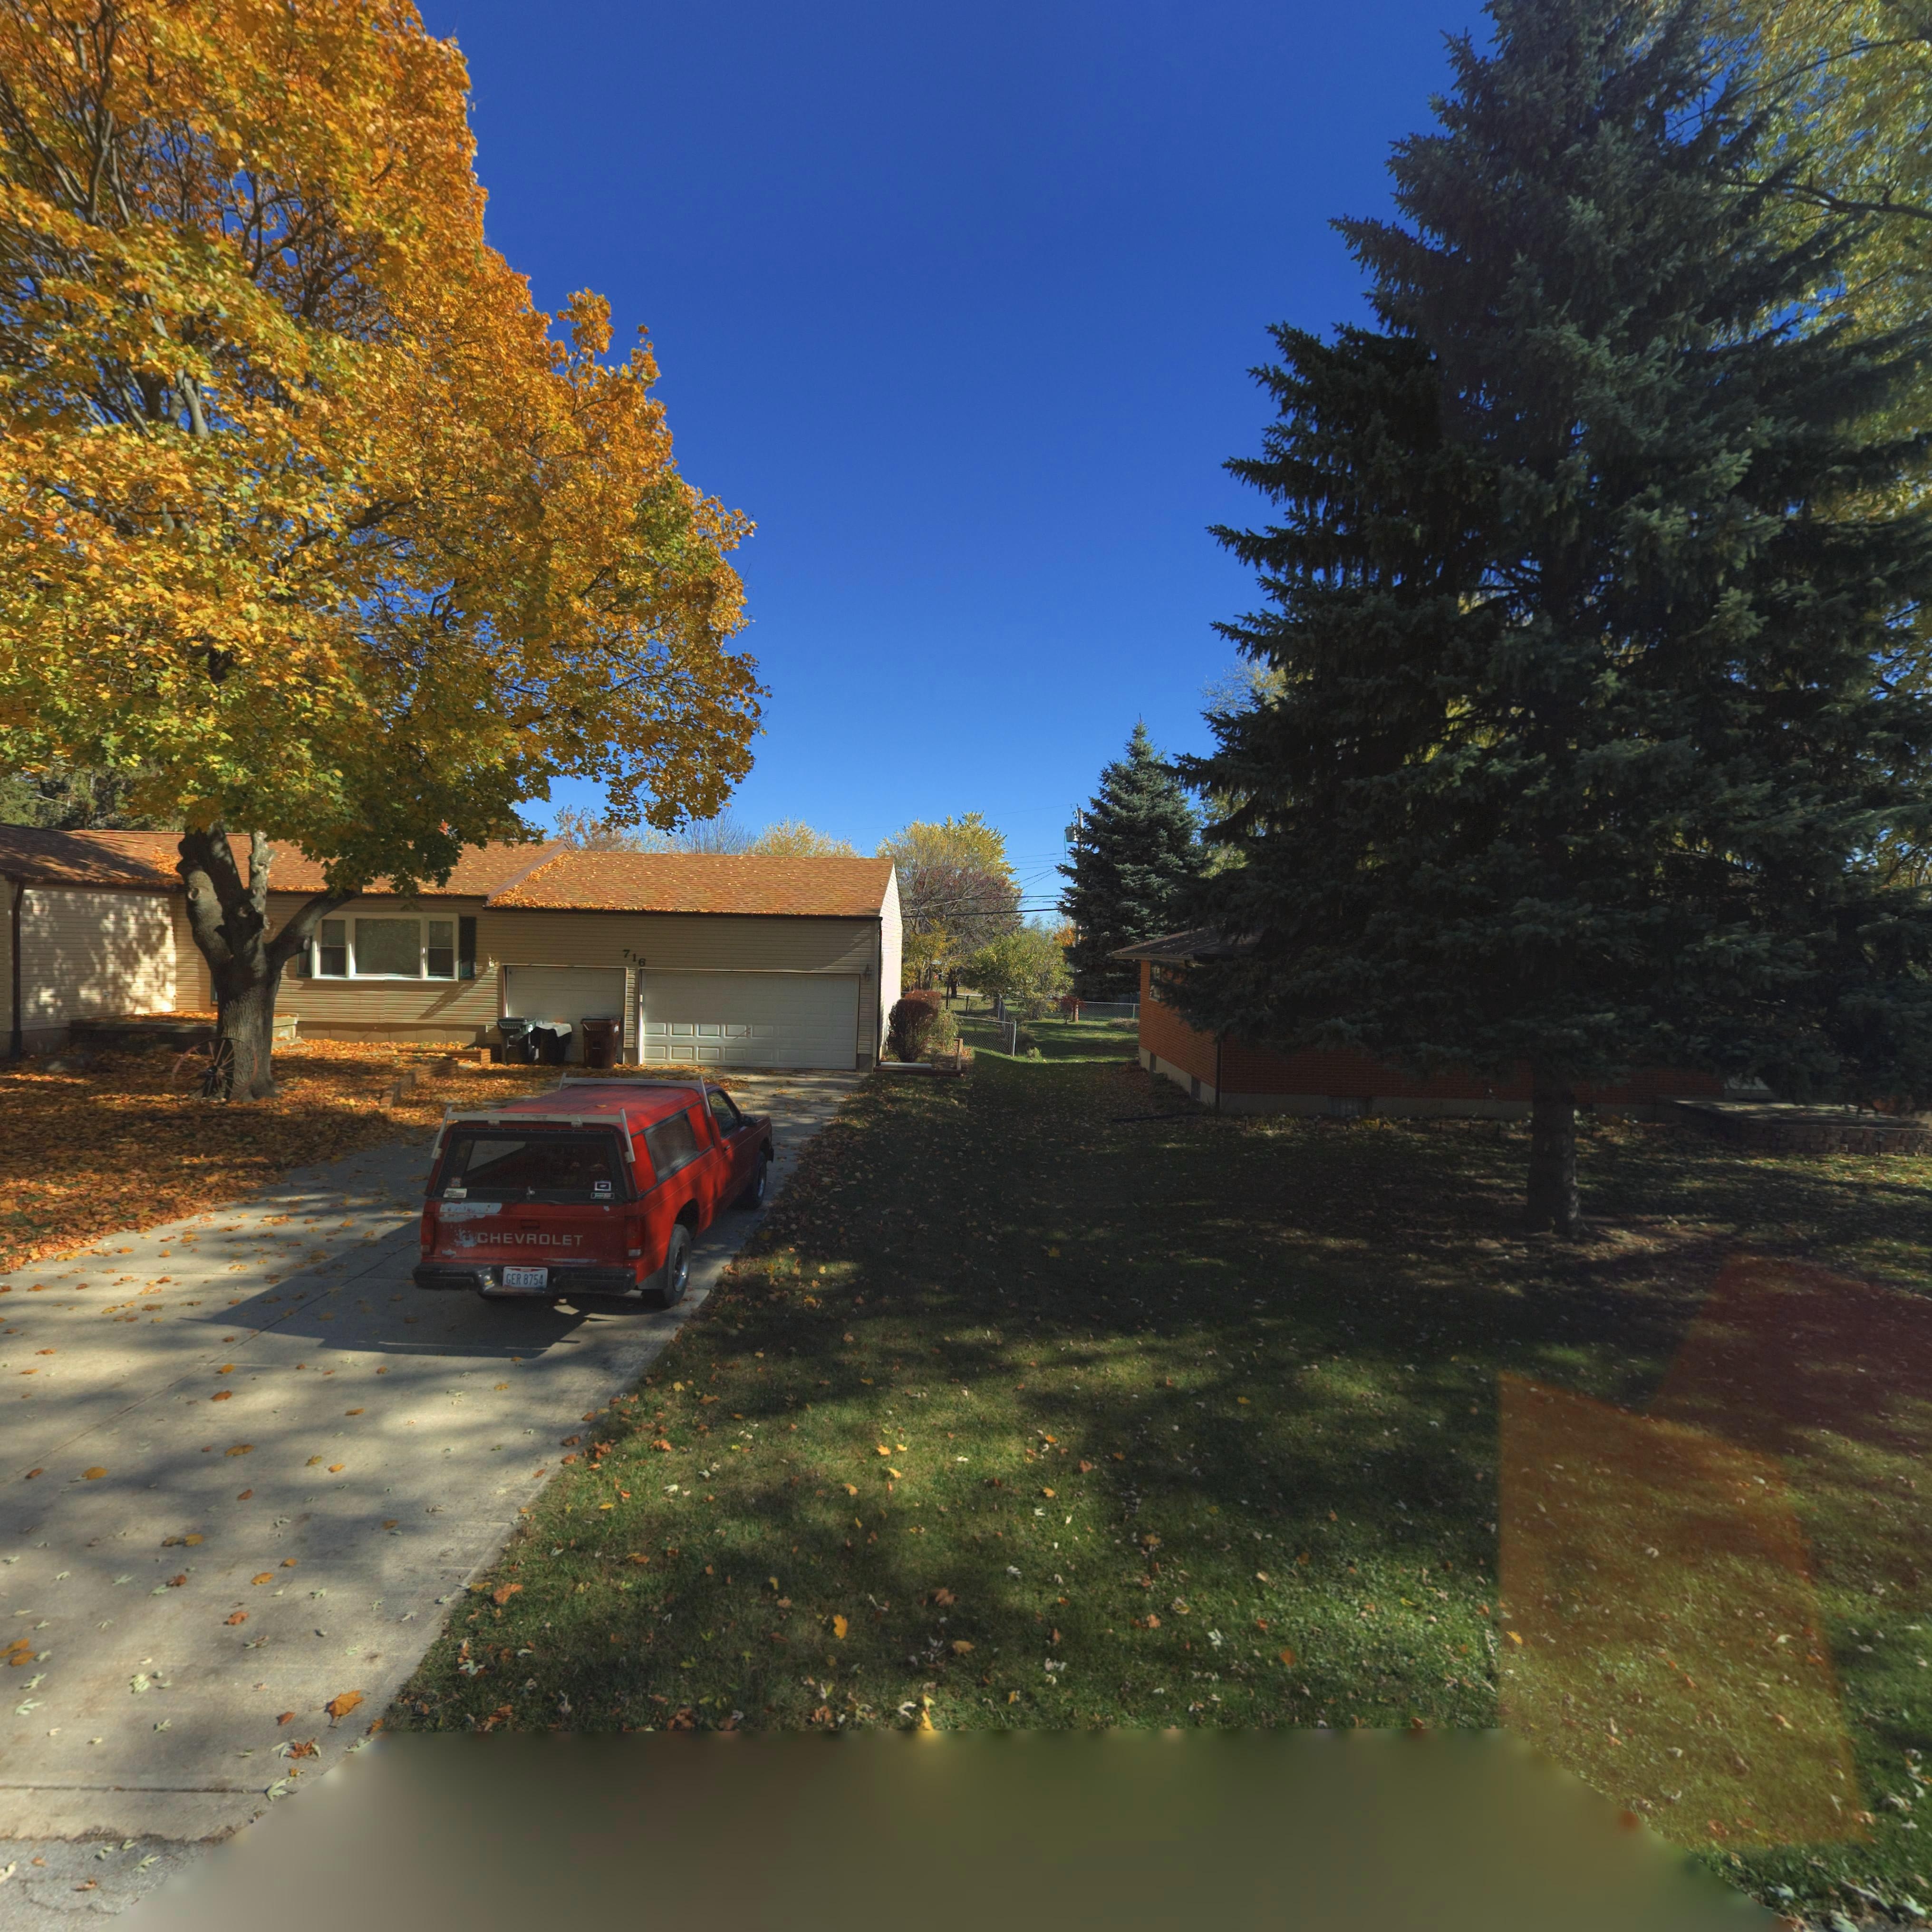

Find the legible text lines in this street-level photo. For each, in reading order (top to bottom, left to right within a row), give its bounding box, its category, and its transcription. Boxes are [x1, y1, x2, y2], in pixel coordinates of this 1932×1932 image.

[622, 949, 647, 967] StreetNumber: 716